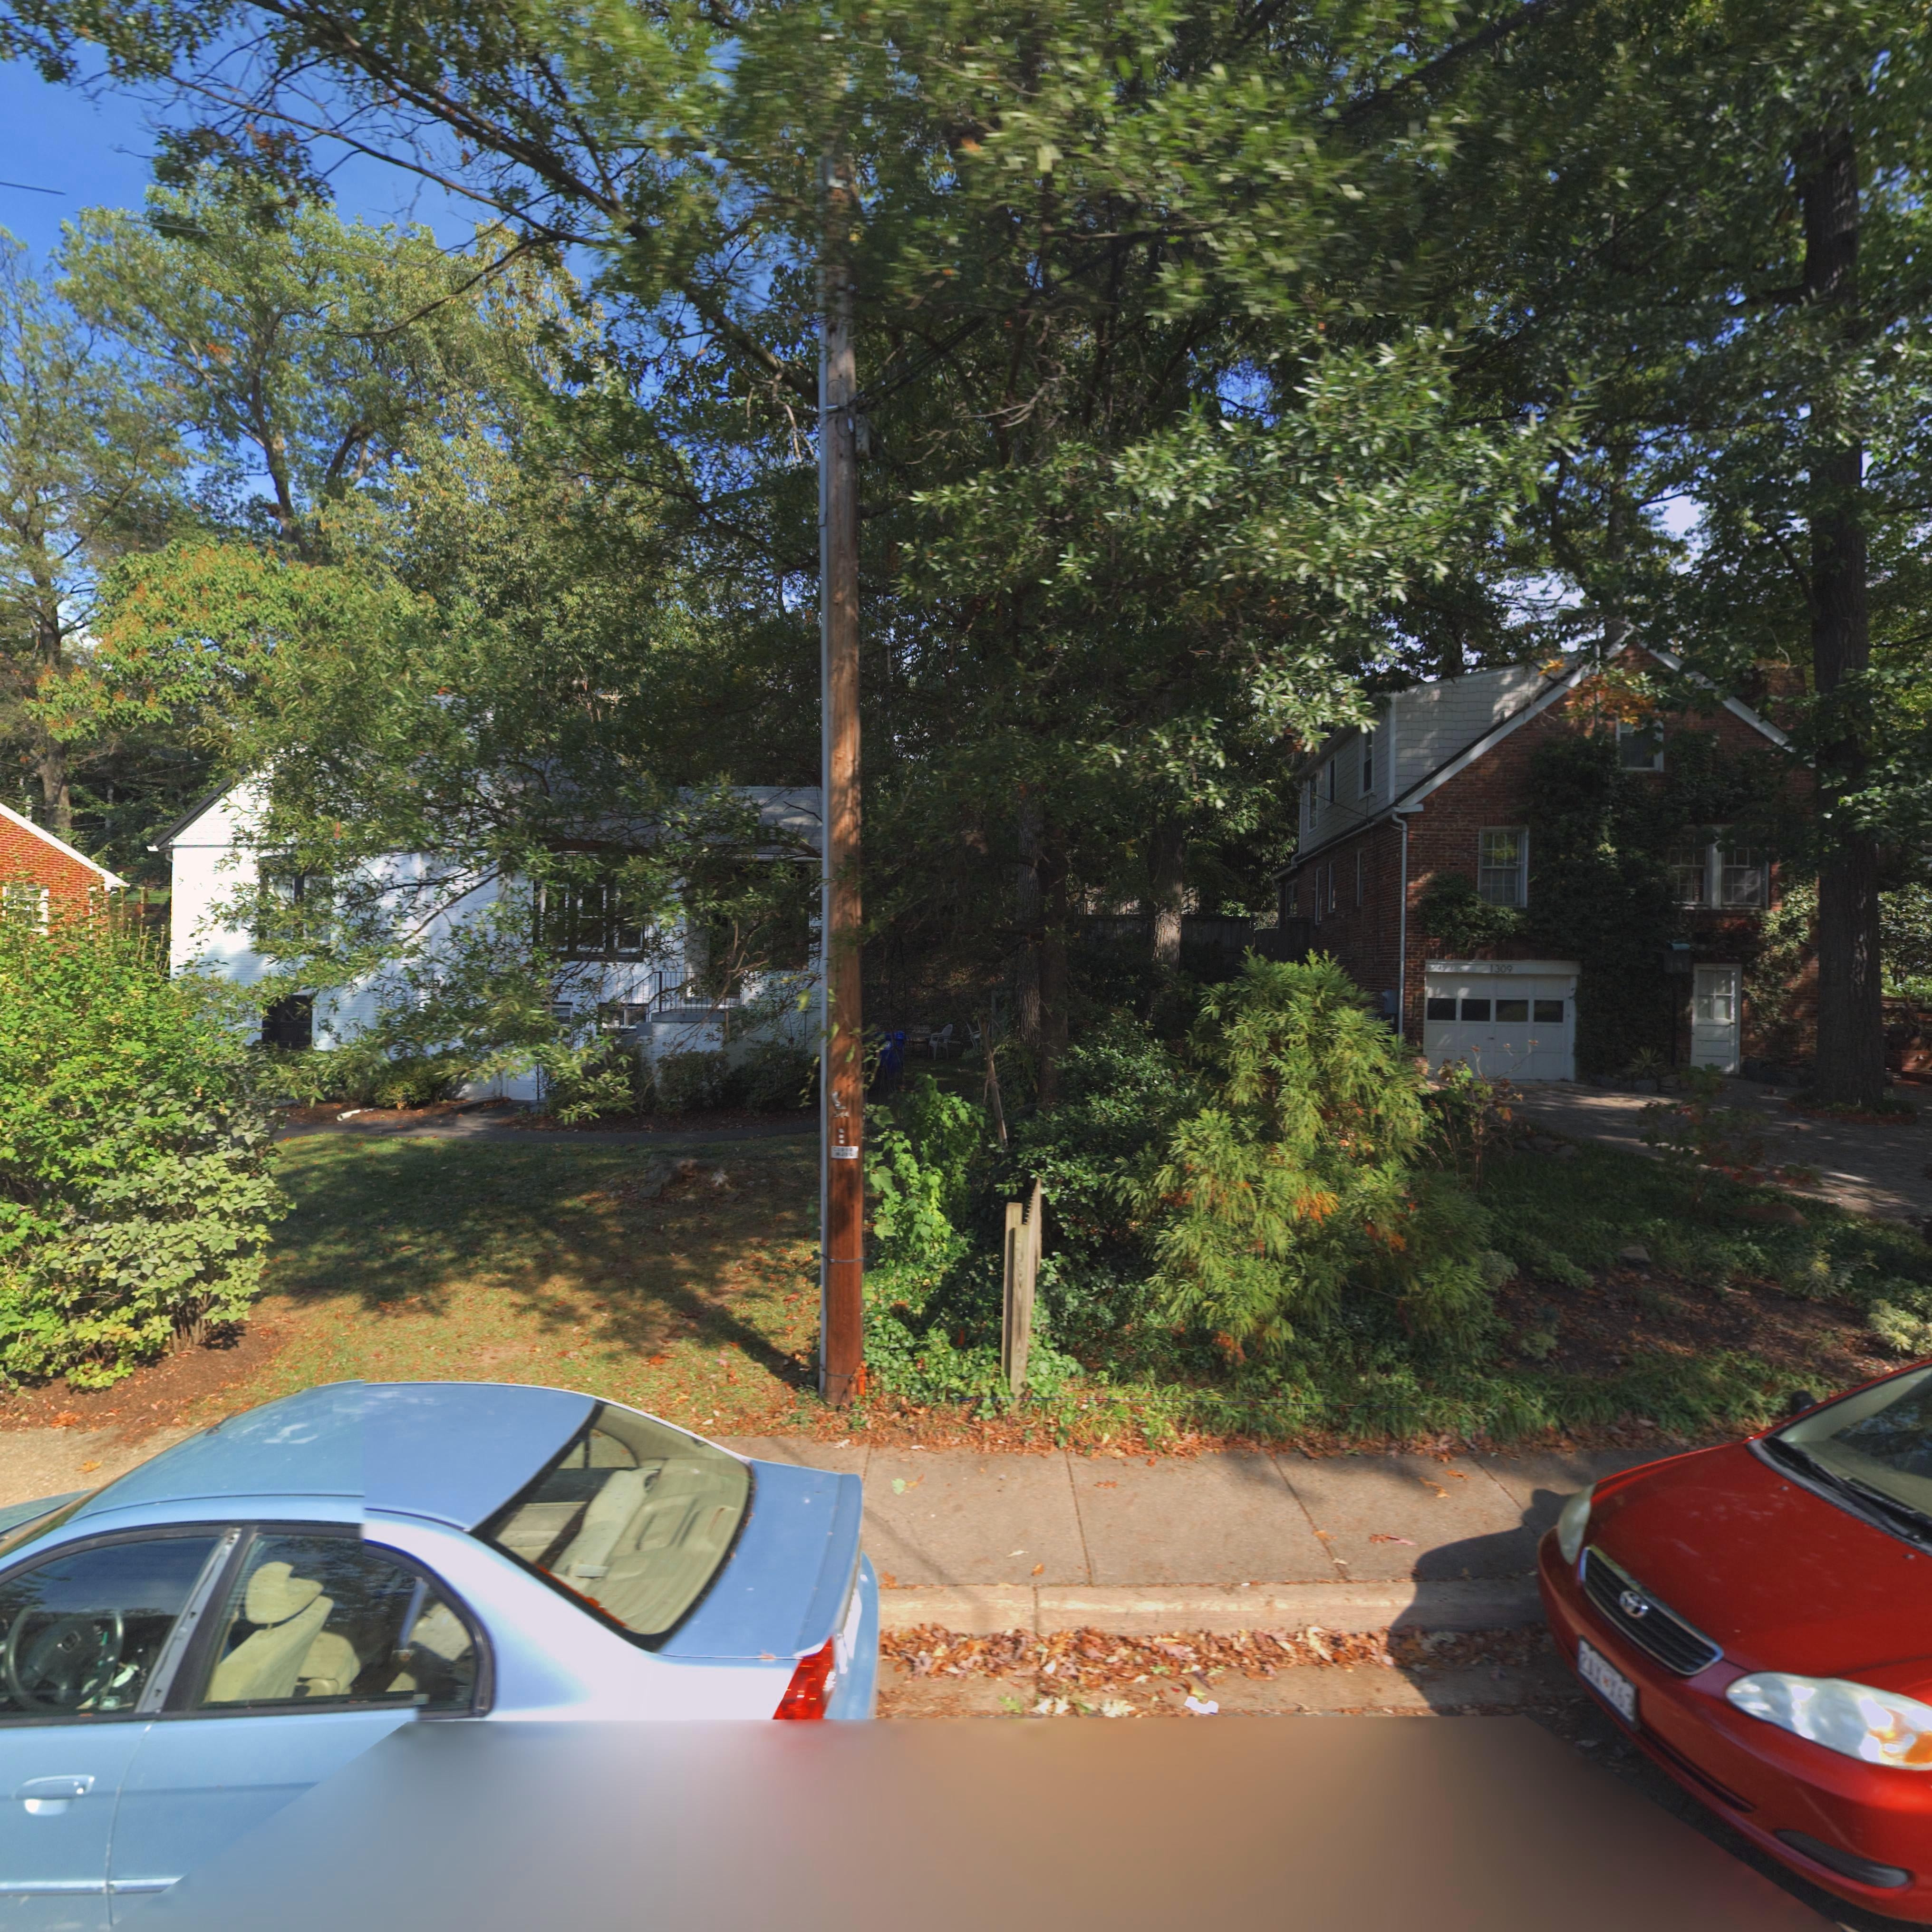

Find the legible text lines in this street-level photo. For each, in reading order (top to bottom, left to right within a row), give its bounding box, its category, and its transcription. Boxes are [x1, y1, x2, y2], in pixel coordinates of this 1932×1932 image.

[1490, 964, 1513, 974] StreetNumber: 1309
[833, 1111, 850, 1119] None: 544
[1579, 1647, 1636, 1720] None: 2*X*X63